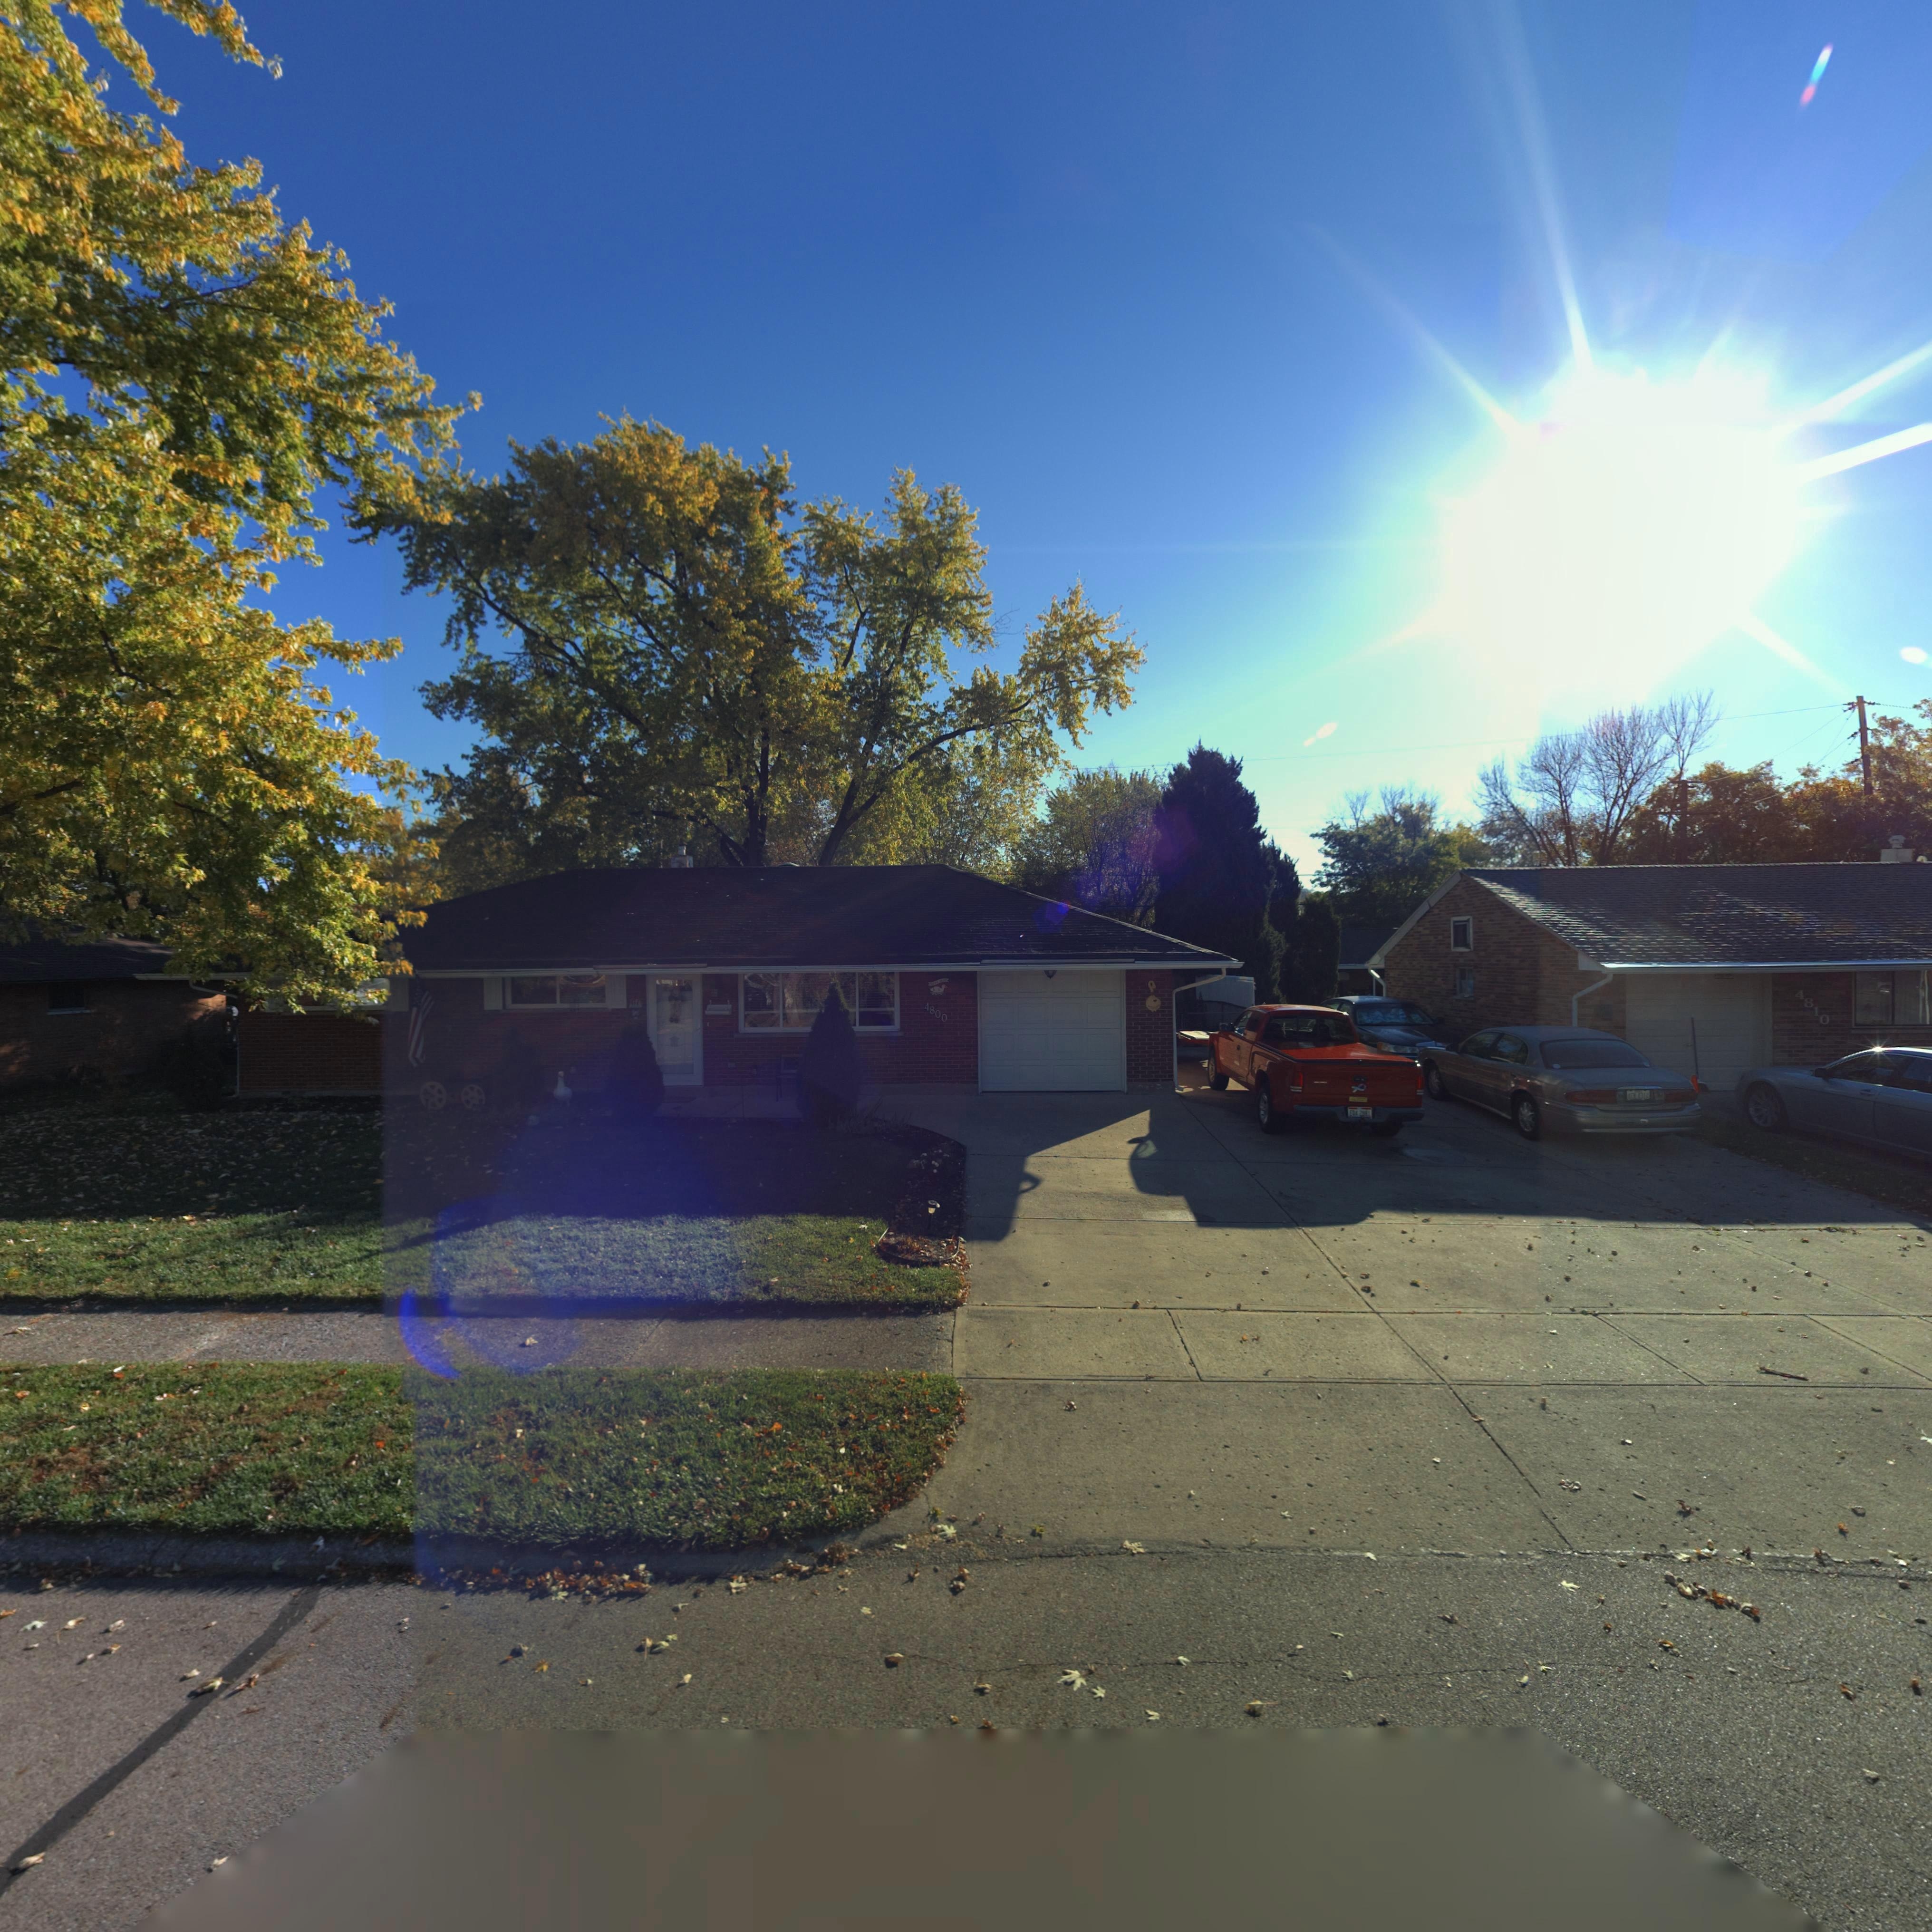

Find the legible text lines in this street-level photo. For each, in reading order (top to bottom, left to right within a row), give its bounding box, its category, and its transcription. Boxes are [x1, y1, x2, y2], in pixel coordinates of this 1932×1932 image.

[923, 1002, 948, 1022] StreetNumber: 4800
[1793, 988, 1832, 1028] StreetNumber: 4810